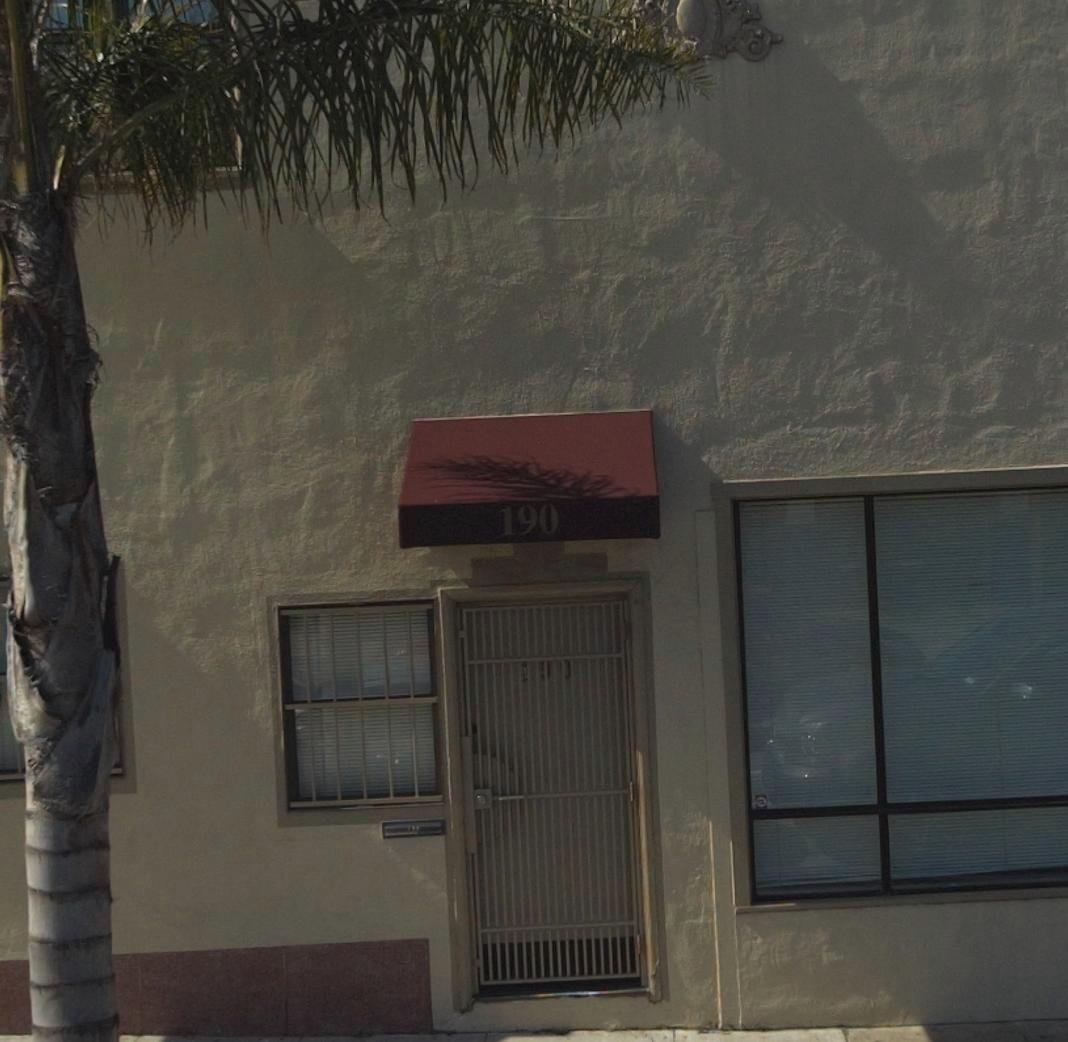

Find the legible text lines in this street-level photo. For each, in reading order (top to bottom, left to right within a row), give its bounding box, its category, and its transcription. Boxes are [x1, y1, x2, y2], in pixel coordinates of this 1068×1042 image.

[500, 500, 562, 540] StreetNumber: 190